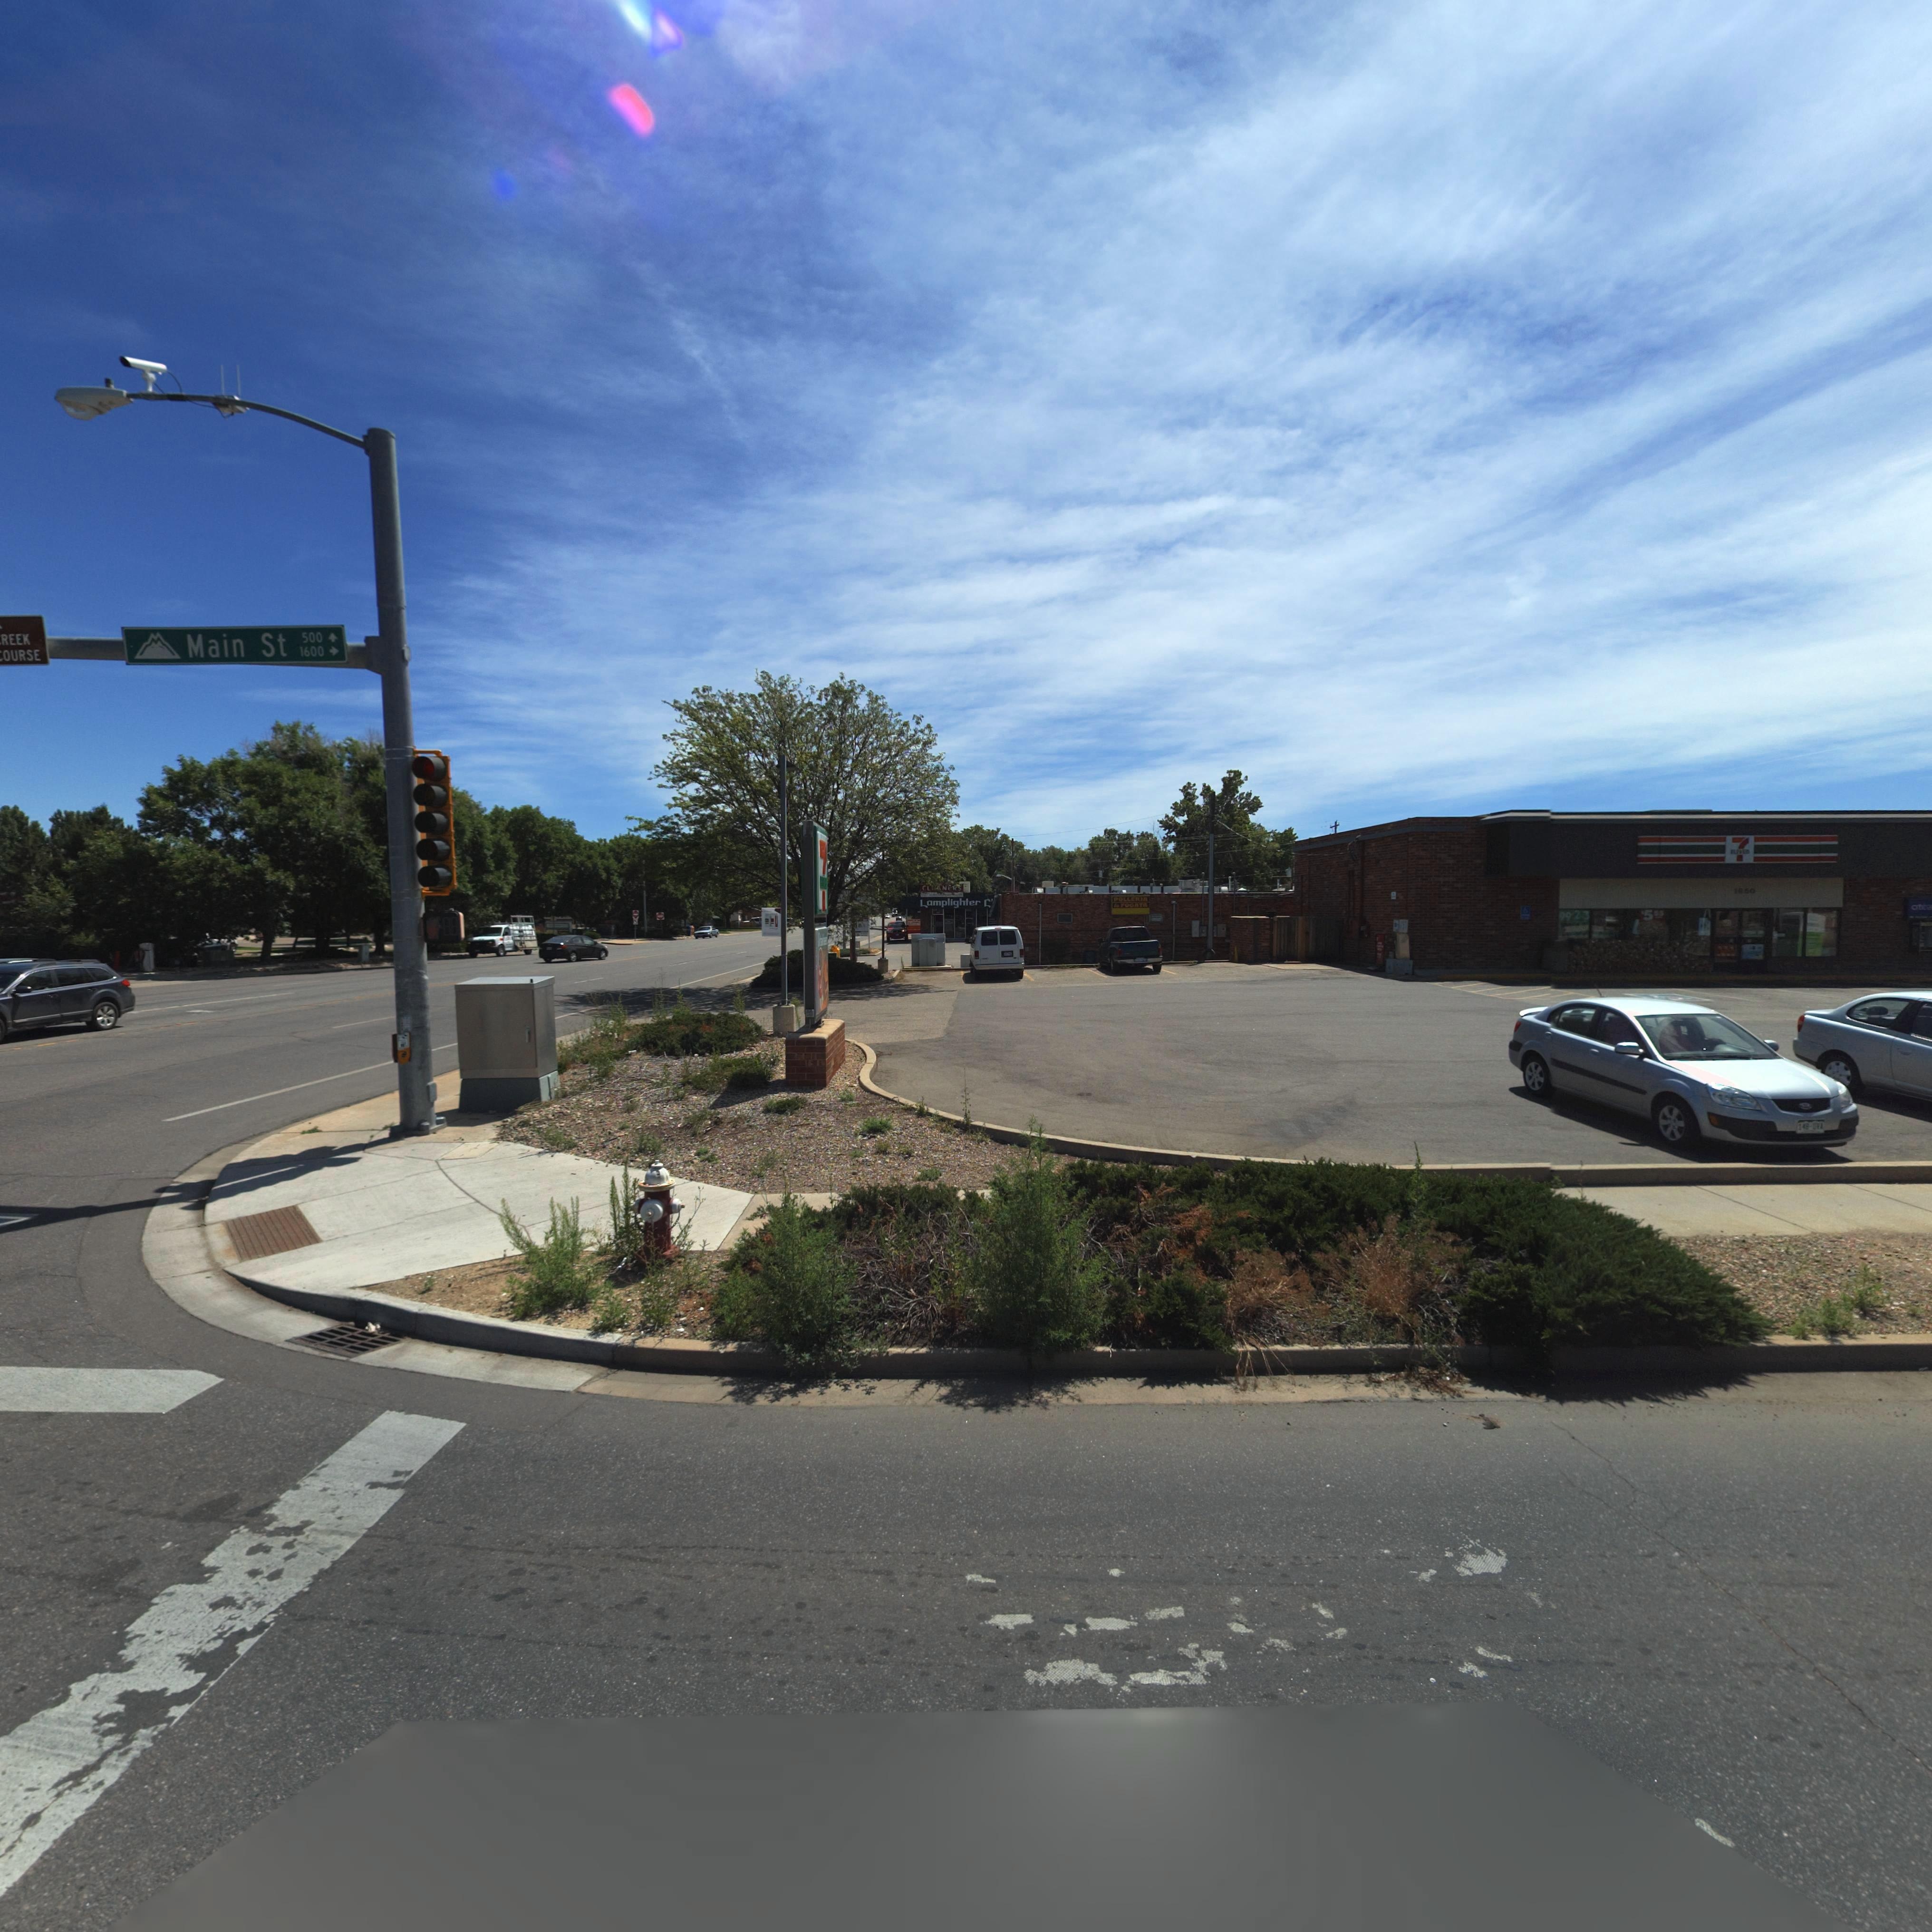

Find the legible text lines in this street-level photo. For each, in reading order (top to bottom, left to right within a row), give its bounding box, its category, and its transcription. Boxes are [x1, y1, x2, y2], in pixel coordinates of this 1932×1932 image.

[301, 631, 323, 643] StreetNumberRange: 500
[186, 632, 288, 658] StreetName: Main St
[299, 645, 340, 657] StreetNumberRange: 1600->
[1730, 849, 1750, 854] BusinessName: E*EV**
[1731, 836, 1750, 862] BusinessName: 7
[819, 839, 827, 912] BusinessName: 7
[921, 885, 961, 891] BusinessName: CL**N**S
[1734, 888, 1756, 894] BusinessName: 1*50
[919, 898, 991, 908] BusinessName: Lamplighter C
[1113, 897, 1148, 902] BusinessName: POLL*RIA
[1113, 902, 1148, 908] BusinessName: l* *OGATA